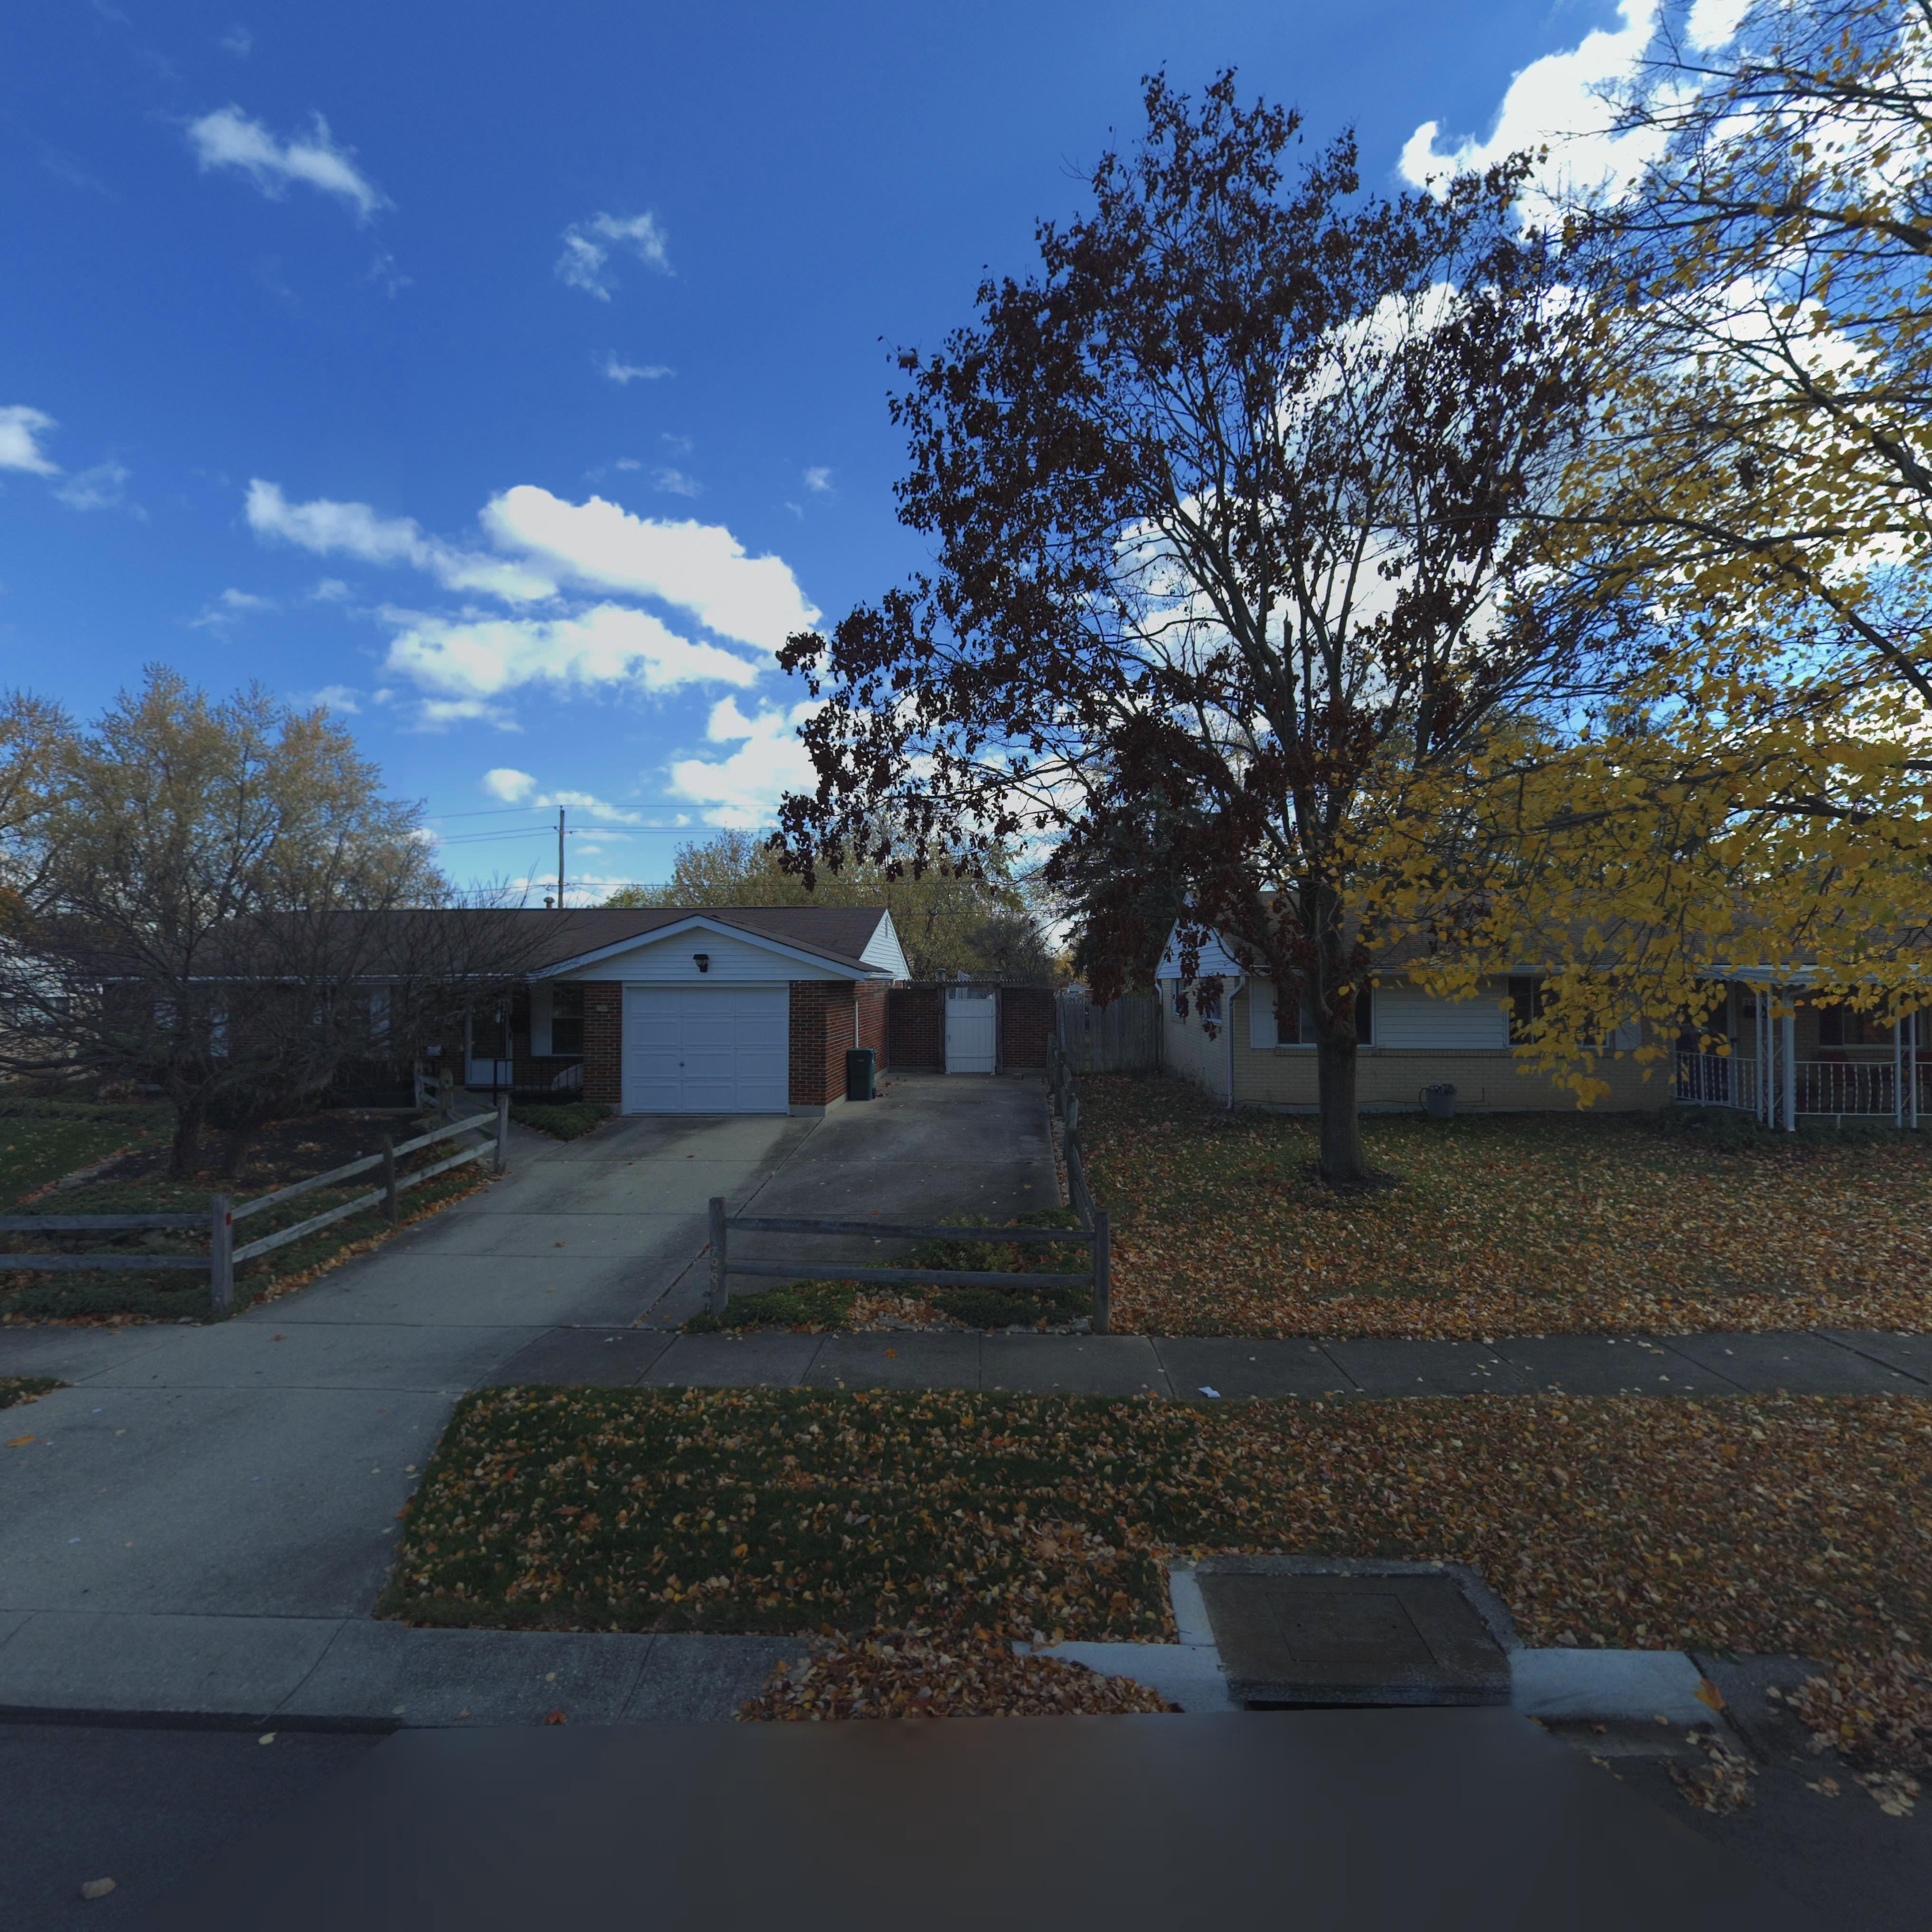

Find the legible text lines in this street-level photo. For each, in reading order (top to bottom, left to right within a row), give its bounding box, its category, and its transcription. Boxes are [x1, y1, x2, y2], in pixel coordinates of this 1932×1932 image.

[1744, 999, 1756, 1006] StreetNumber: 79